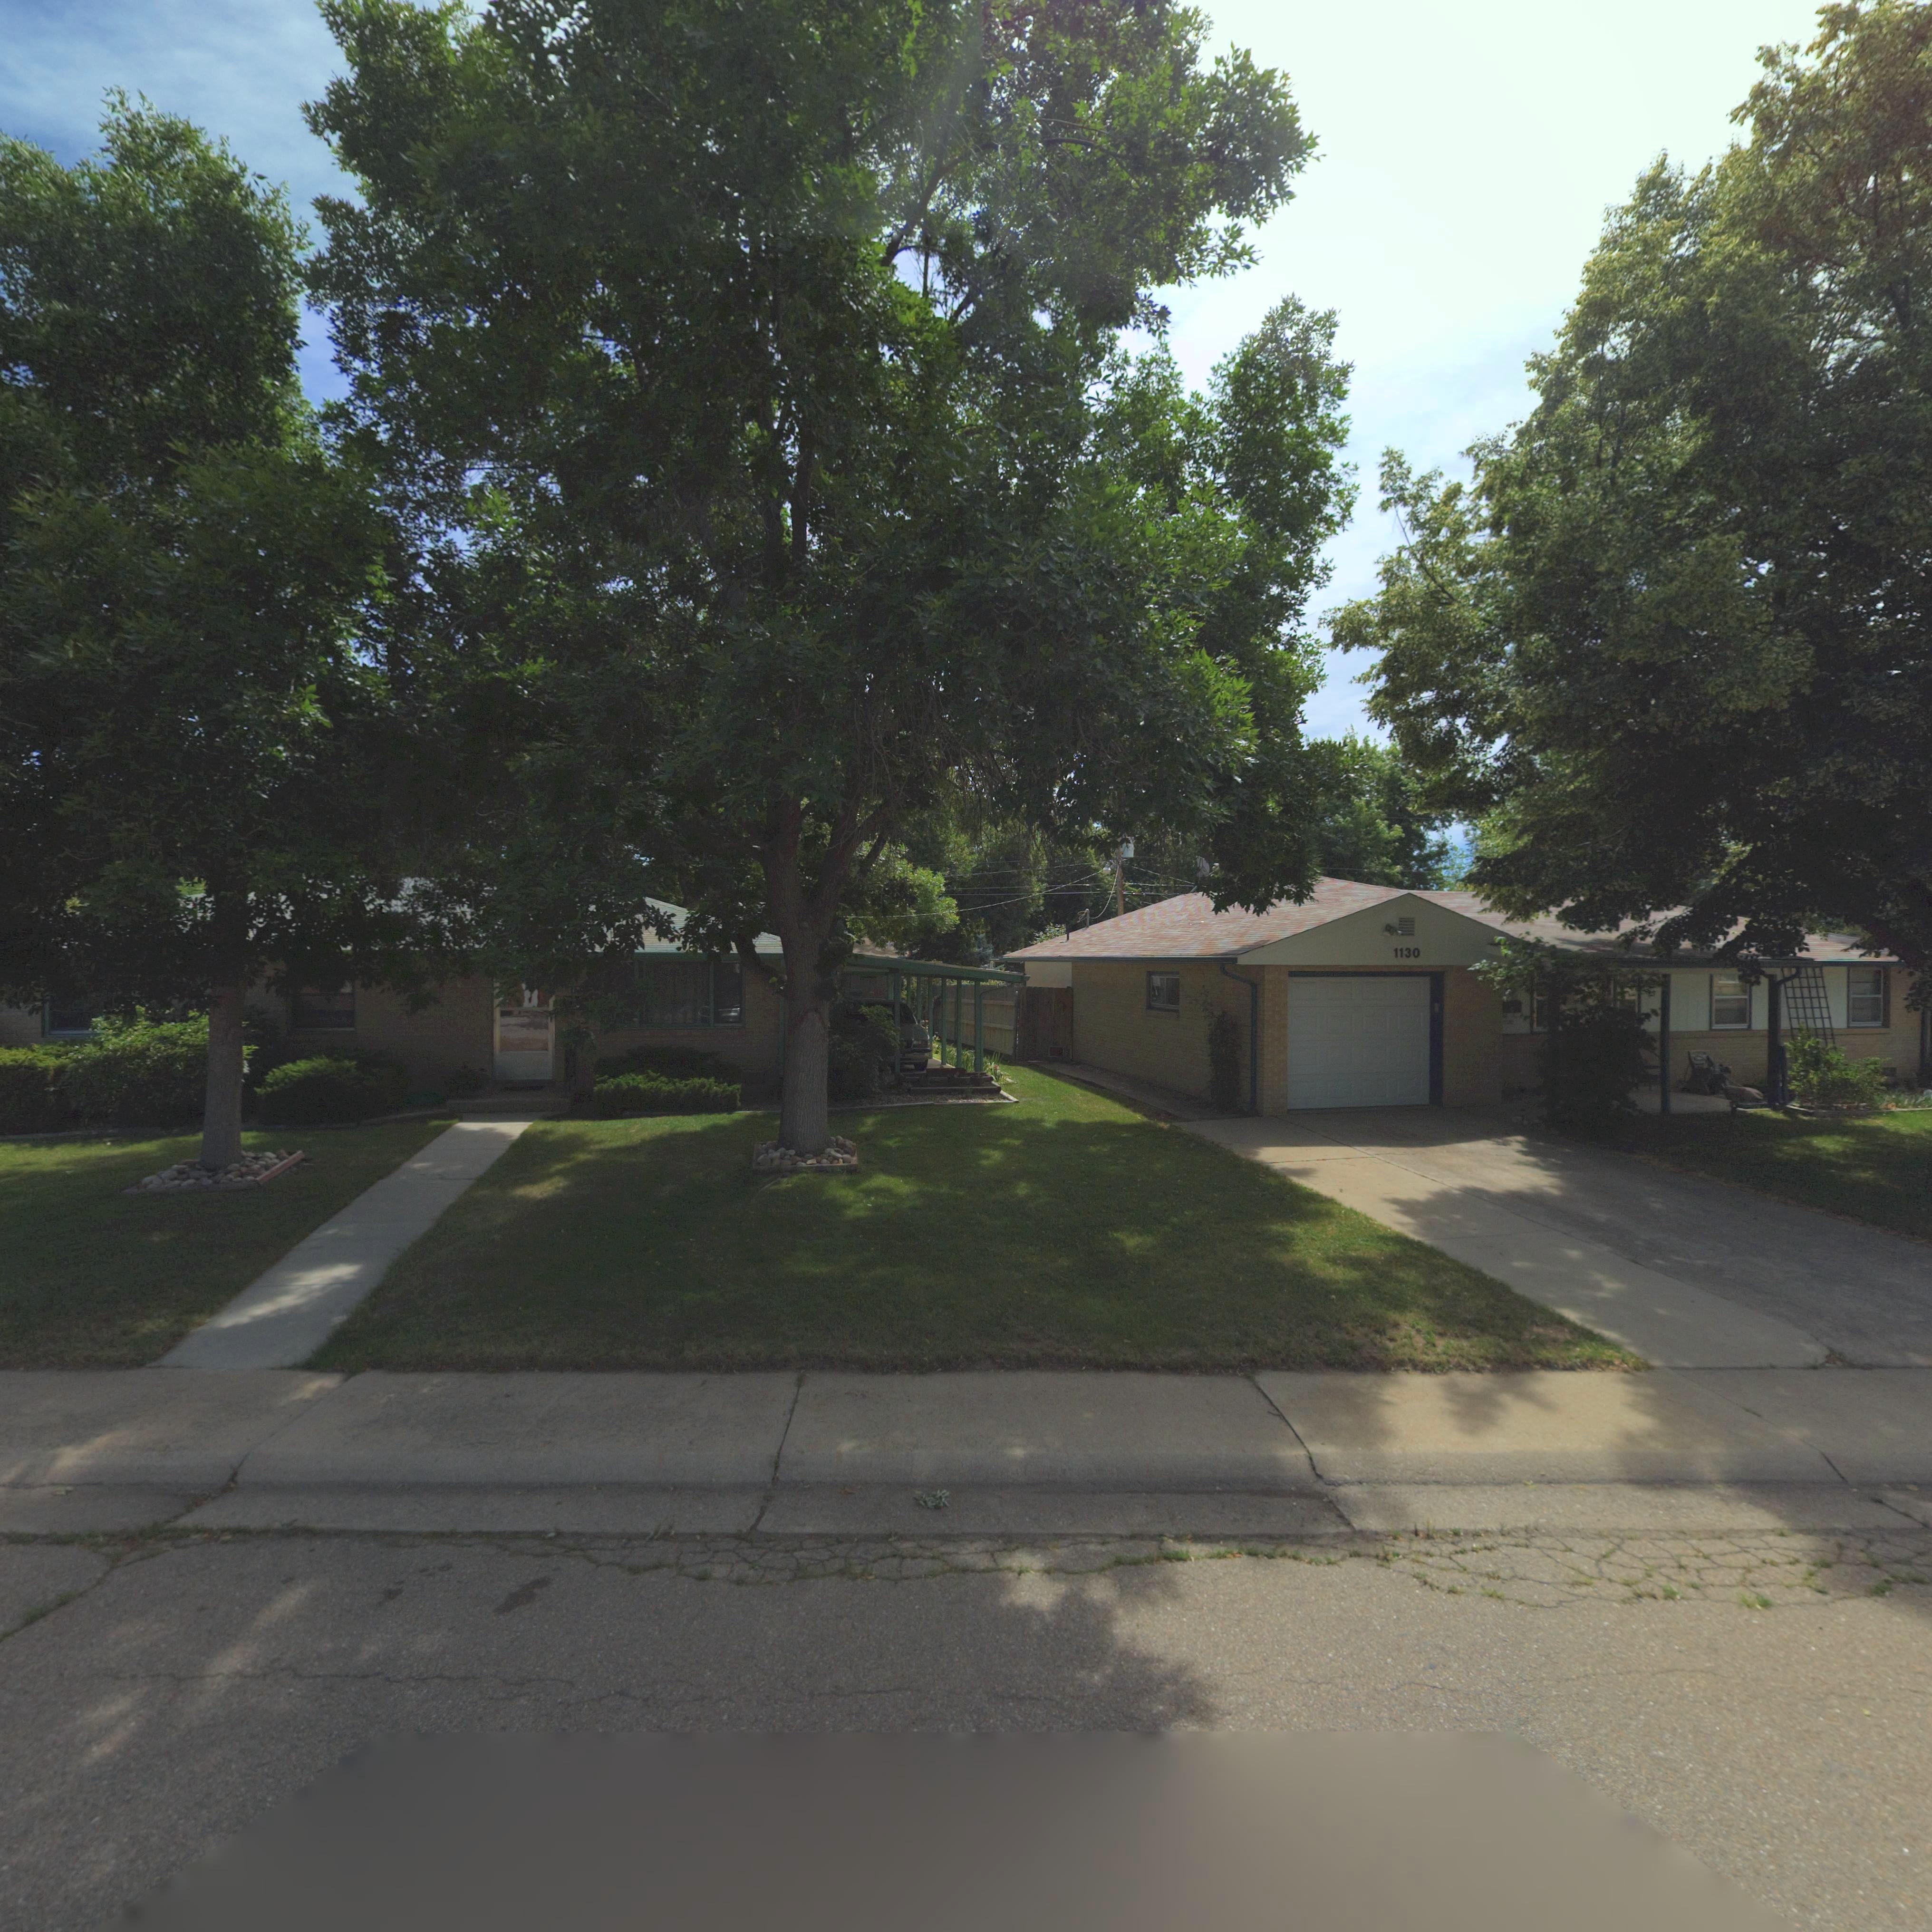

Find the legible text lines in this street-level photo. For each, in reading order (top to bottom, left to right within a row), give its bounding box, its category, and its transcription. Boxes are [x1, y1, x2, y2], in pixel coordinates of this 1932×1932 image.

[1393, 947, 1420, 958] StreetNumber: 1130